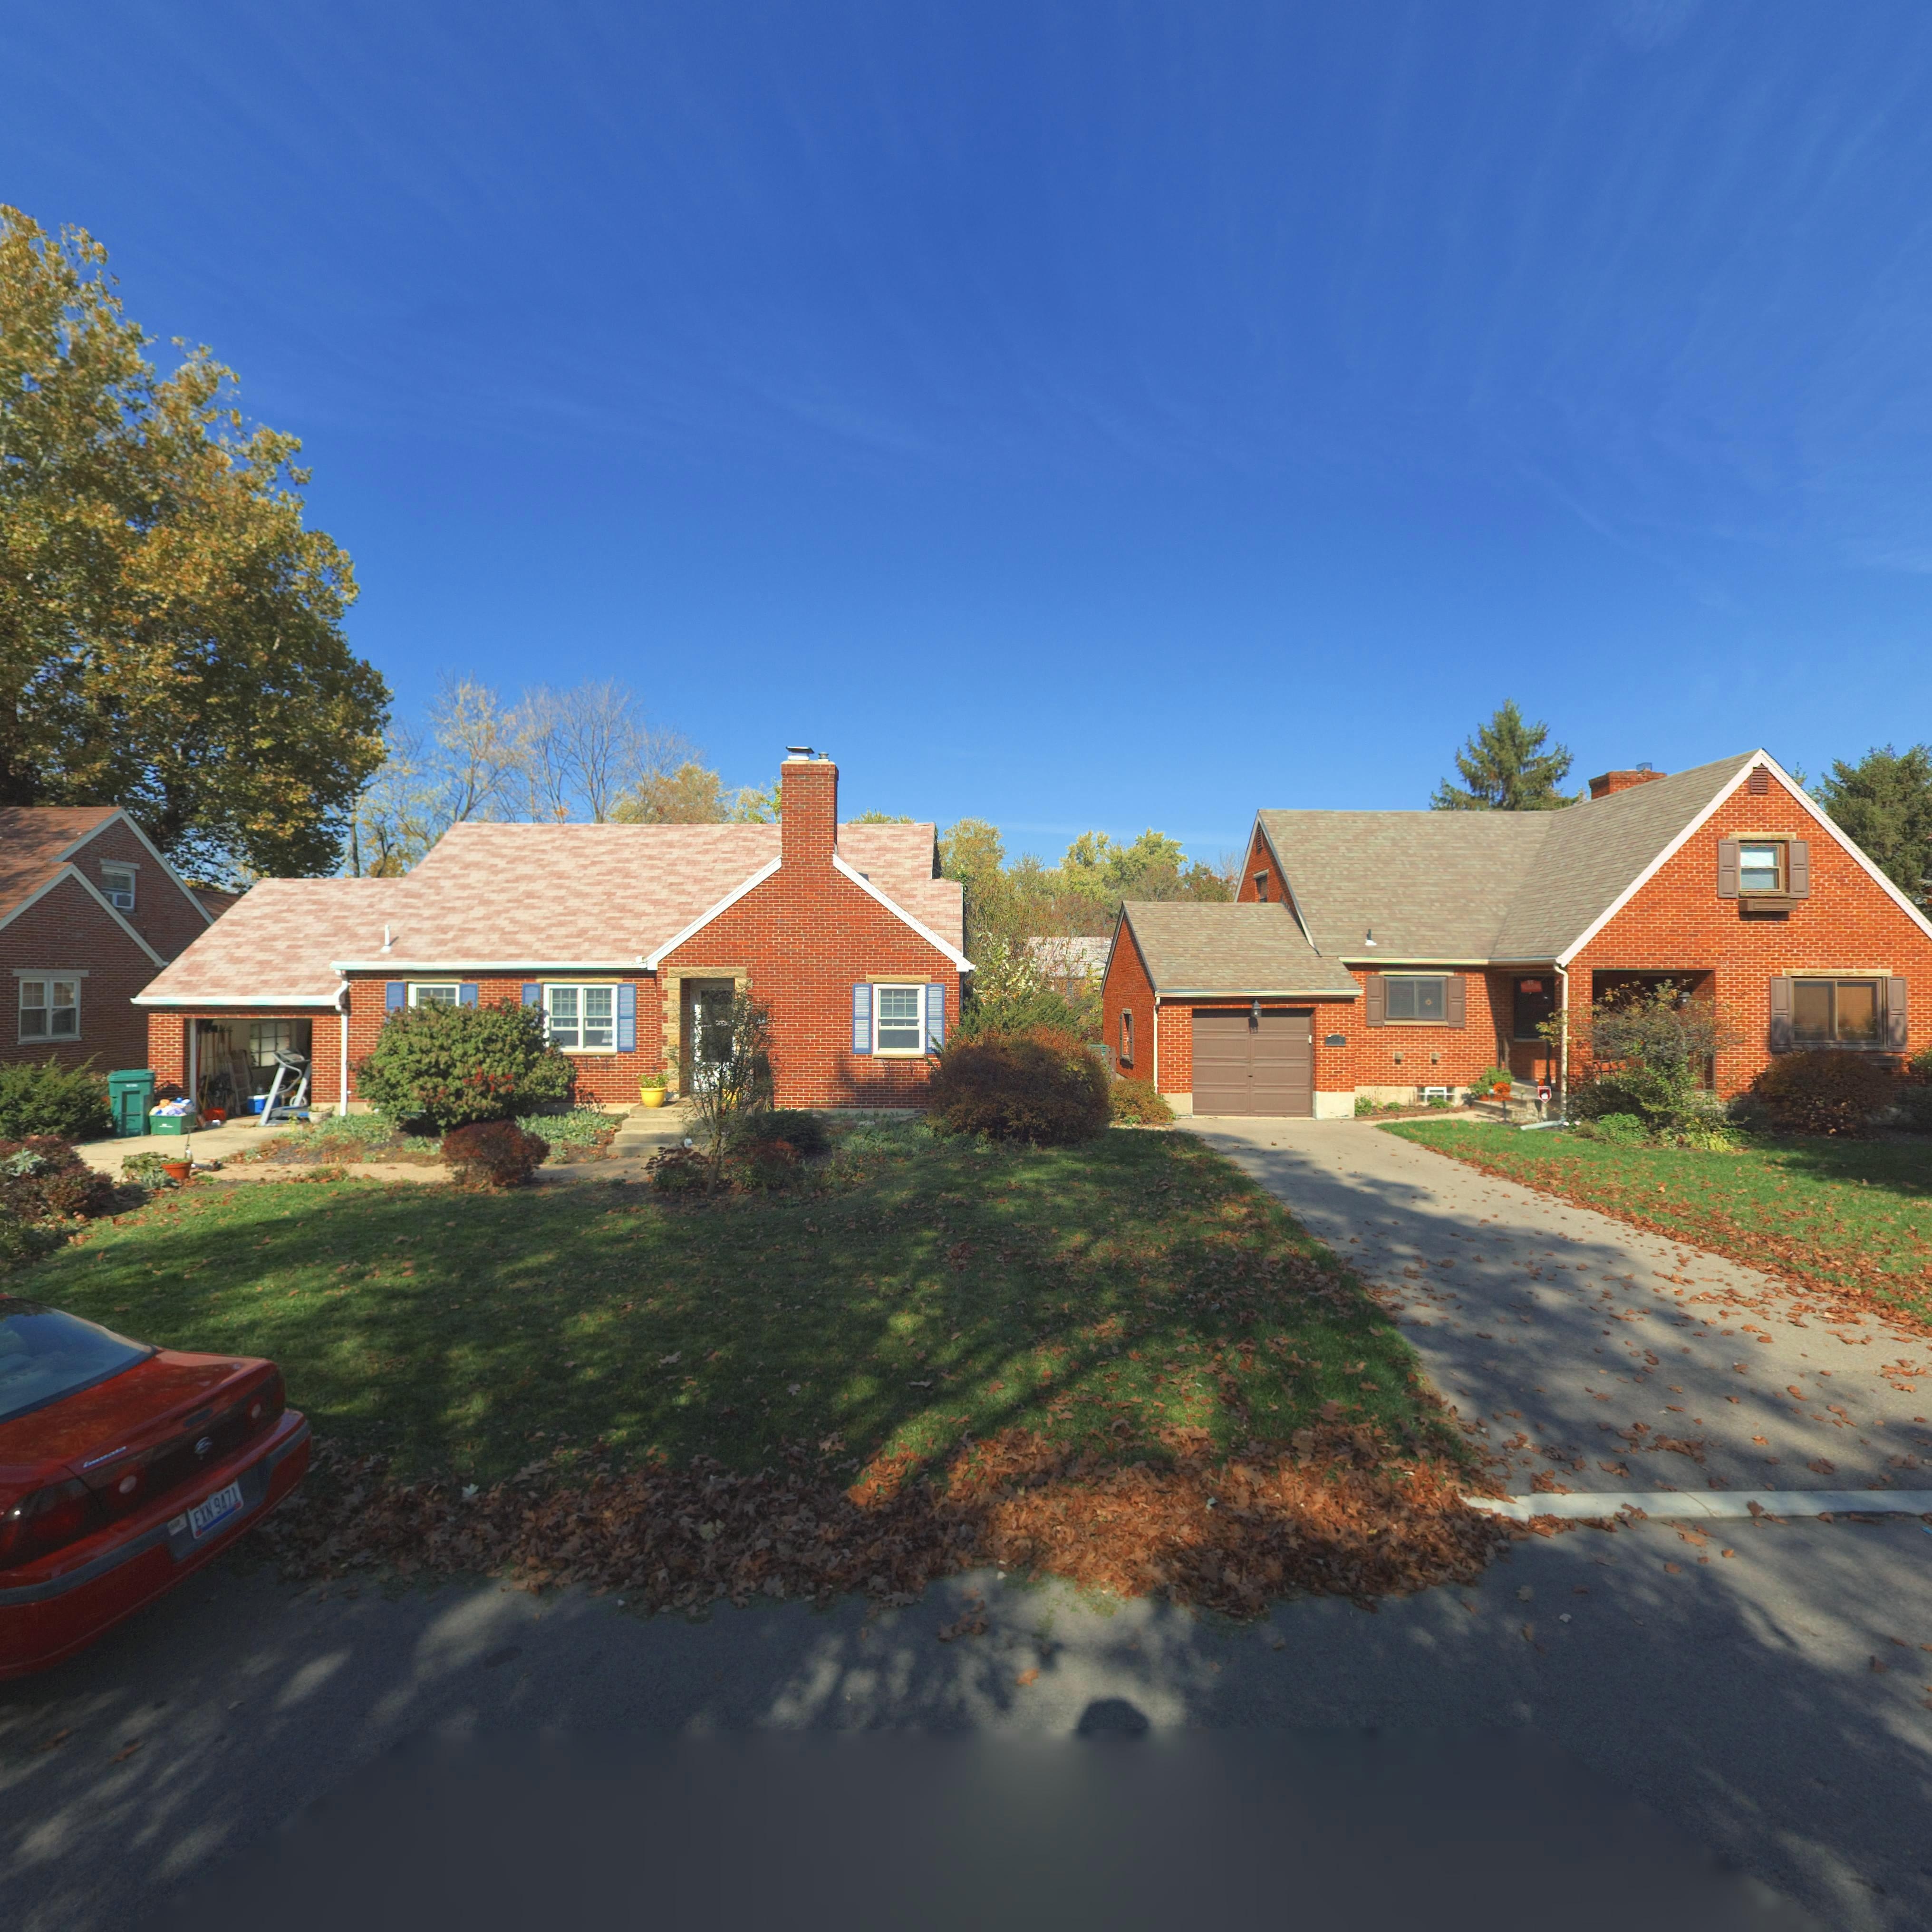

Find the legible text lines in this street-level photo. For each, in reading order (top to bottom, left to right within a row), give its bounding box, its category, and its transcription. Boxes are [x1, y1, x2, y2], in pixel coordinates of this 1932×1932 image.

[1328, 1037, 1343, 1045] StreetNumber: 5**
[82, 1445, 126, 1469] None: Impala
[193, 1485, 239, 1530] None: EXN*9471